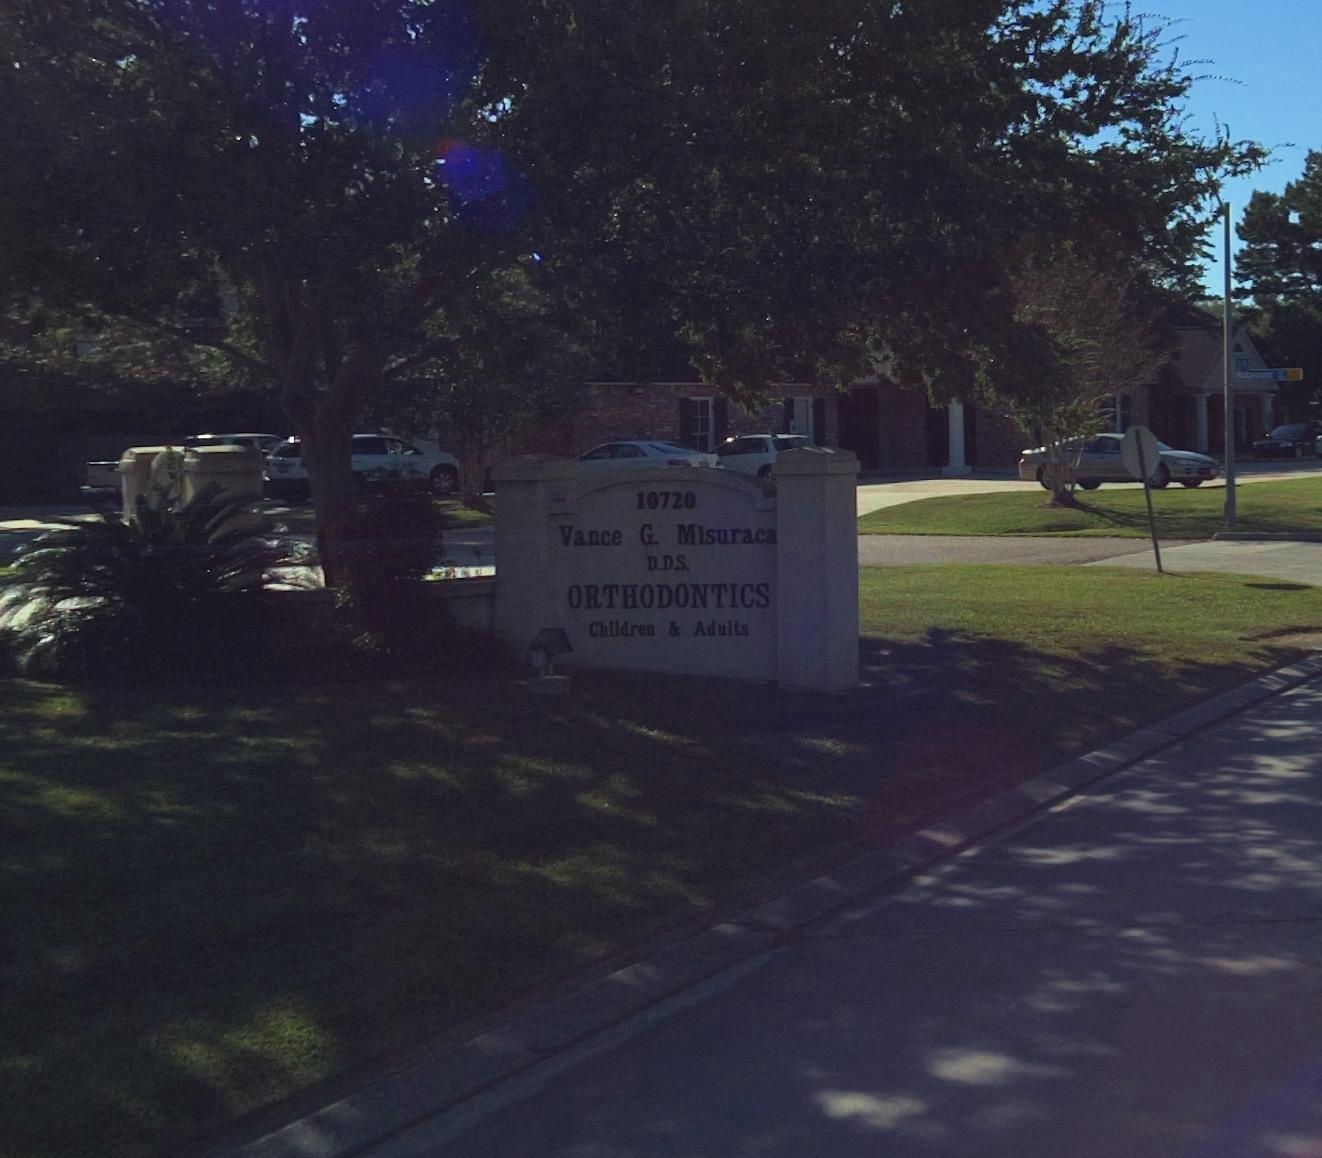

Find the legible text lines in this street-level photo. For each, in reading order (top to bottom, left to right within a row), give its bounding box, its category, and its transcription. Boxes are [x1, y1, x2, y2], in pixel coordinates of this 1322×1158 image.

[634, 490, 698, 511] StreetNumber: 10720
[558, 522, 778, 547] BusinessName: Vance G. Misuraca
[646, 554, 691, 572] BusinessName: D.D.S.
[567, 582, 771, 610] BusinessName: ORTHODONTICS
[588, 618, 750, 638] None: Children & Adults